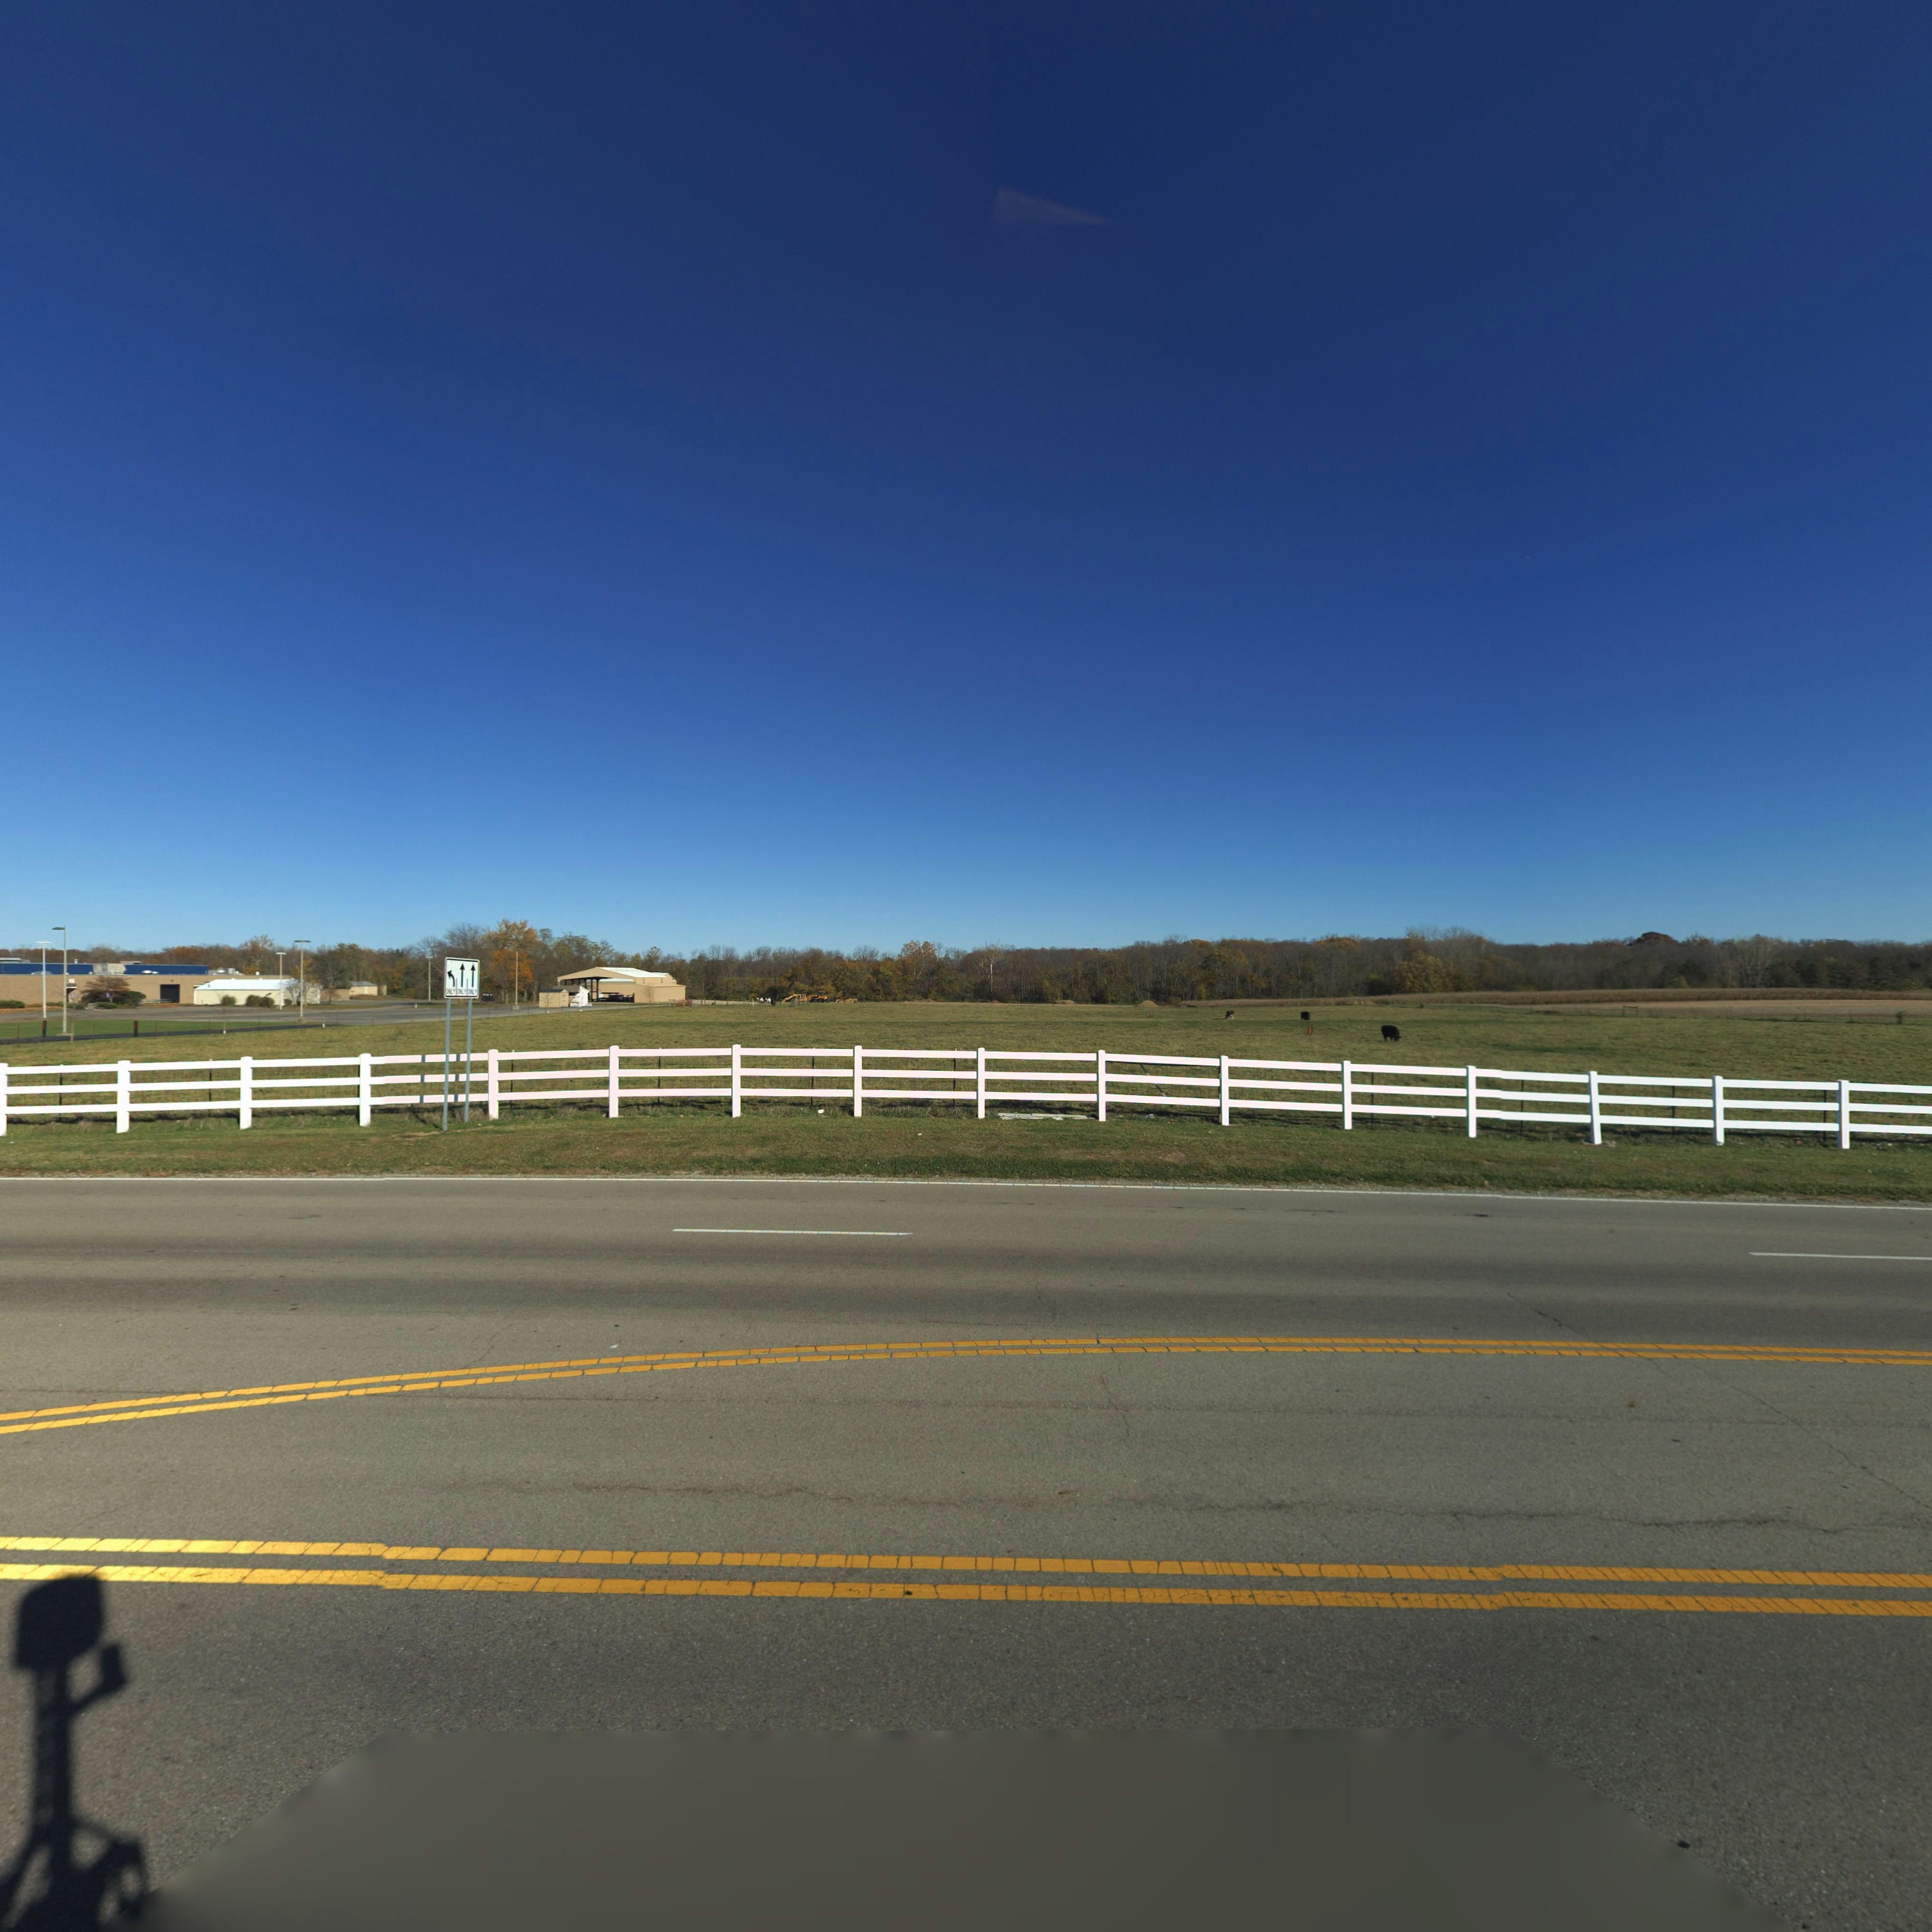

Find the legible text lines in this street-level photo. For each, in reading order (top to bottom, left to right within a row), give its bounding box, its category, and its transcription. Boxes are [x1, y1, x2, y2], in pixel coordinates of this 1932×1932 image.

[68, 978, 76, 984] StreetNumber: 1*